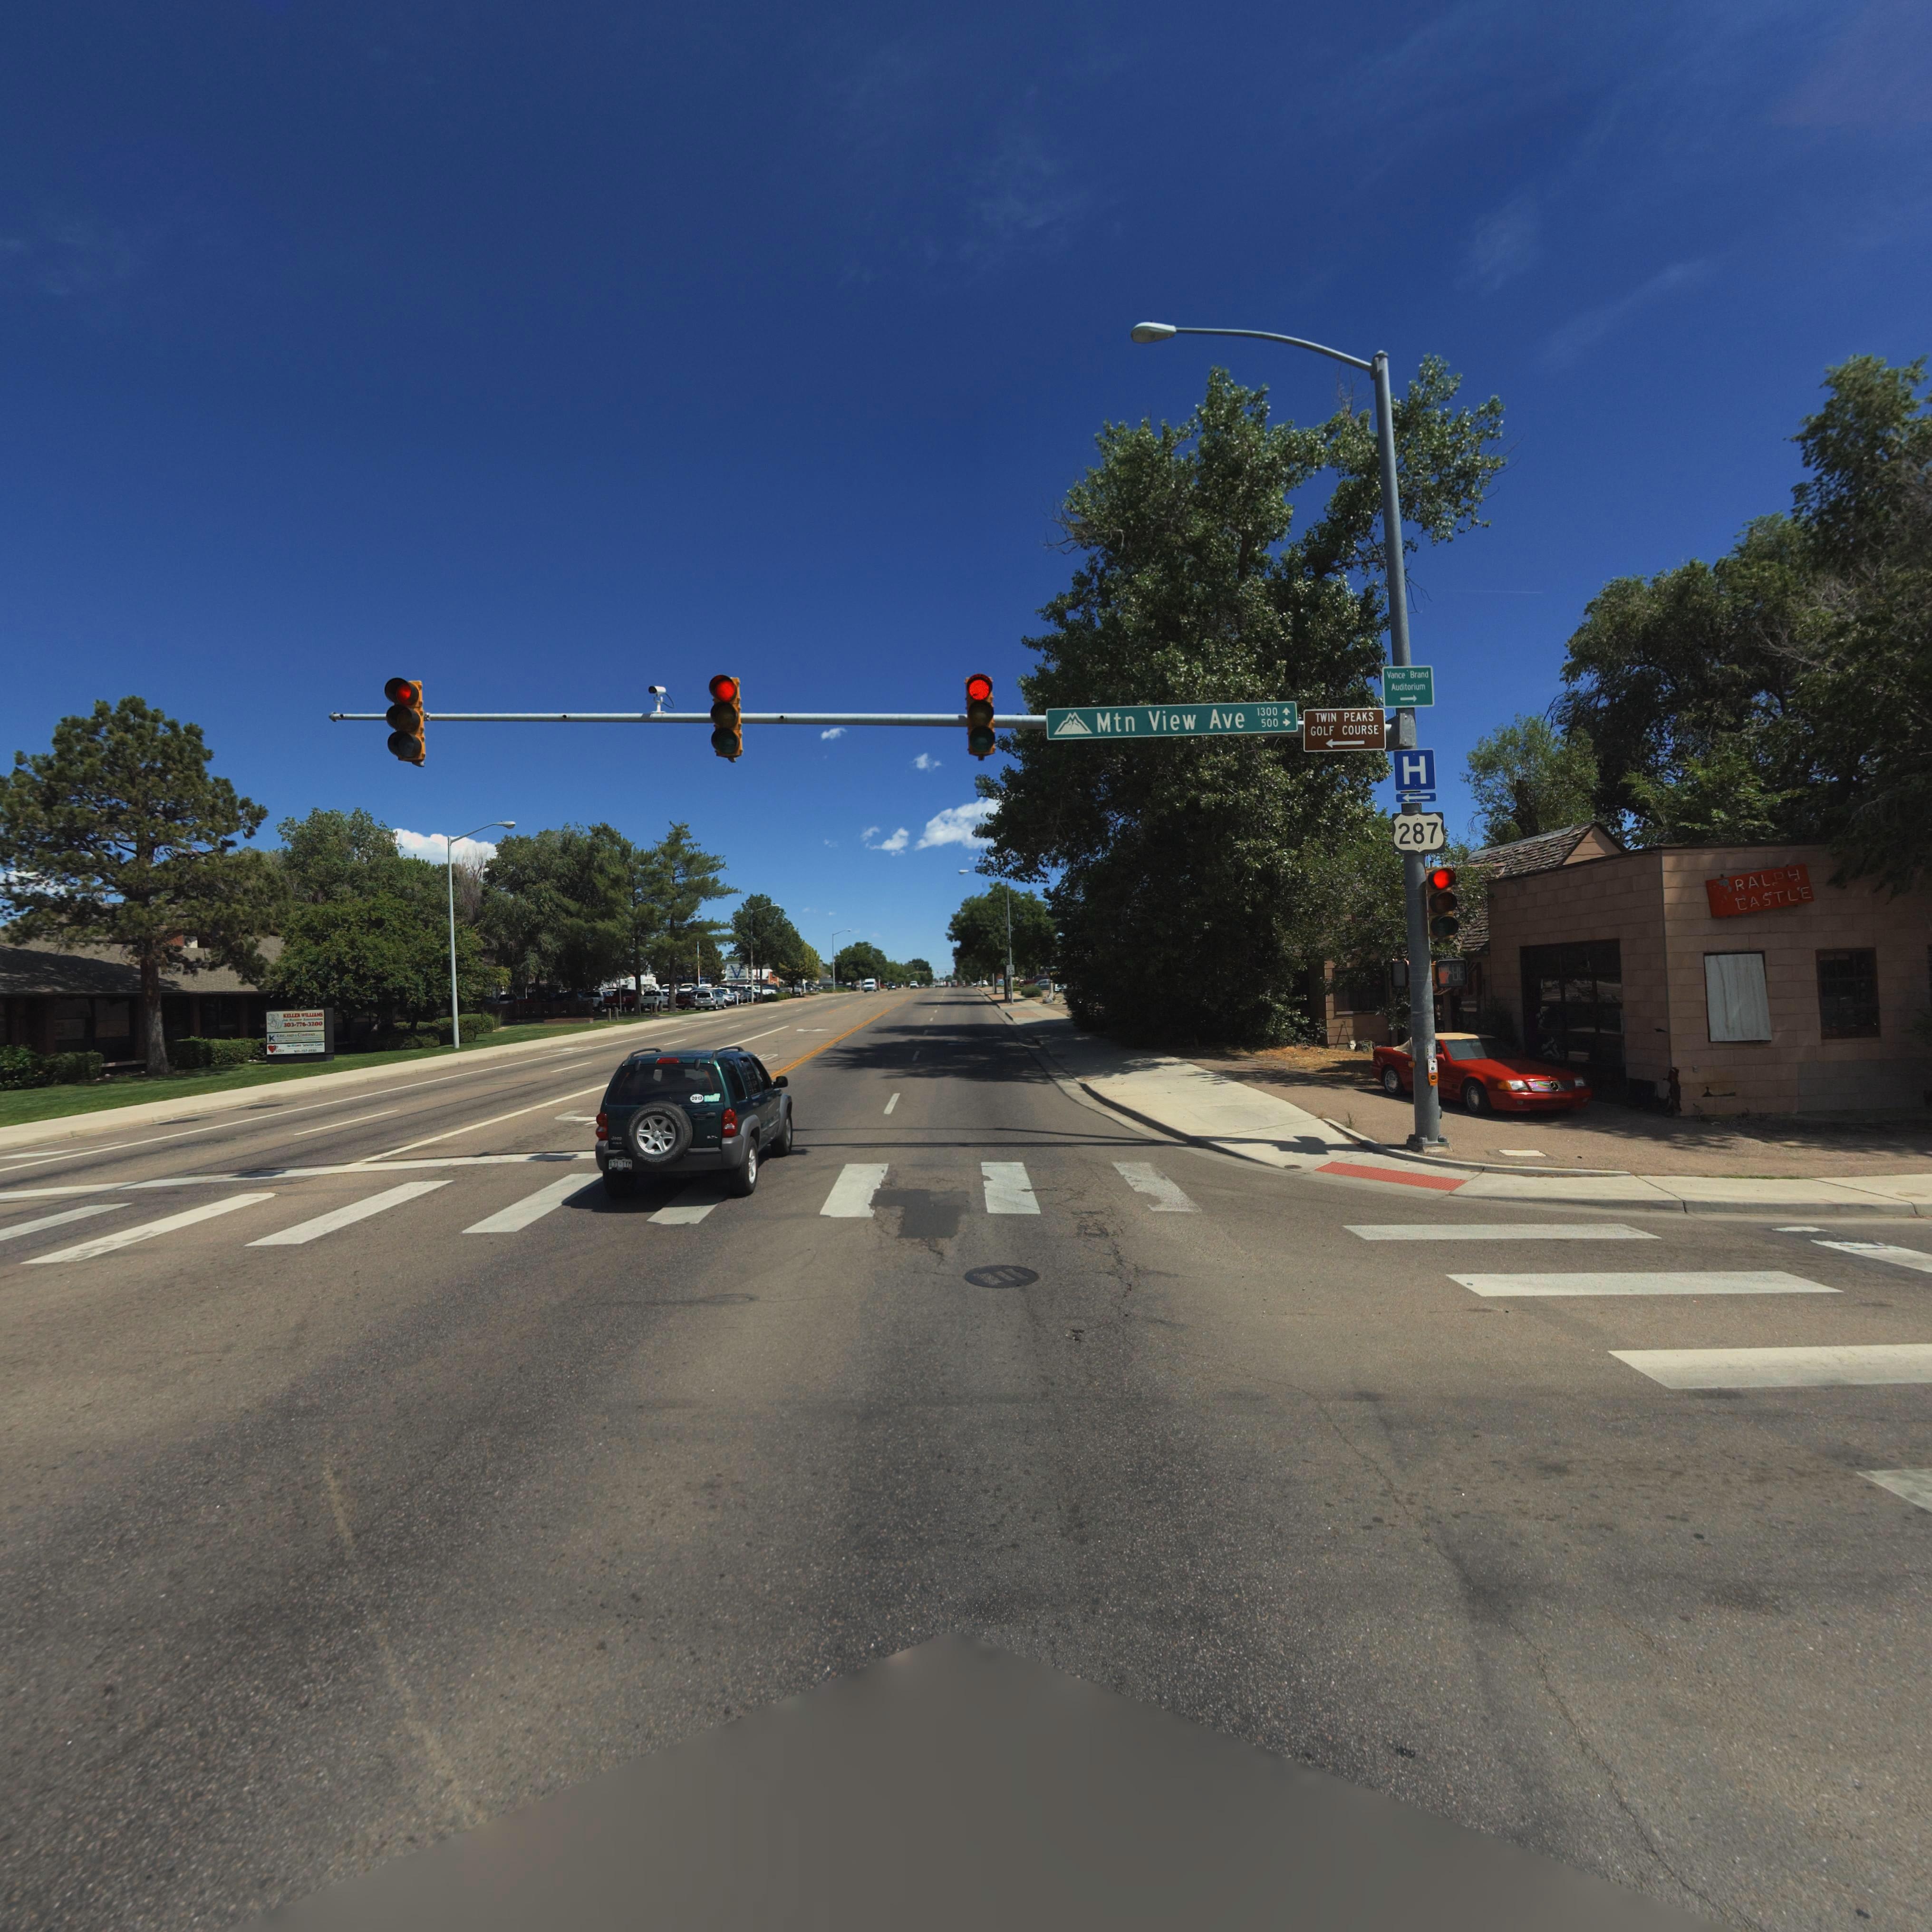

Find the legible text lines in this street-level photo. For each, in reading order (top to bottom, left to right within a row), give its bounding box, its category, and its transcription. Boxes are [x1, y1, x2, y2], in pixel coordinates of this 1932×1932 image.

[1257, 707, 1277, 716] StreetNumberRange: 1300
[1096, 708, 1245, 734] StreetName: Mtn View Ave
[1261, 718, 1291, 727] StreetNumberRange: 500->
[1735, 868, 1800, 891] BusinessName: RALPH
[1736, 885, 1812, 910] BusinessName: CASTLE
[283, 1012, 322, 1017] BusinessName: KELLER ***LIA**
[276, 1032, 316, 1038] BusinessName: K******* C*******